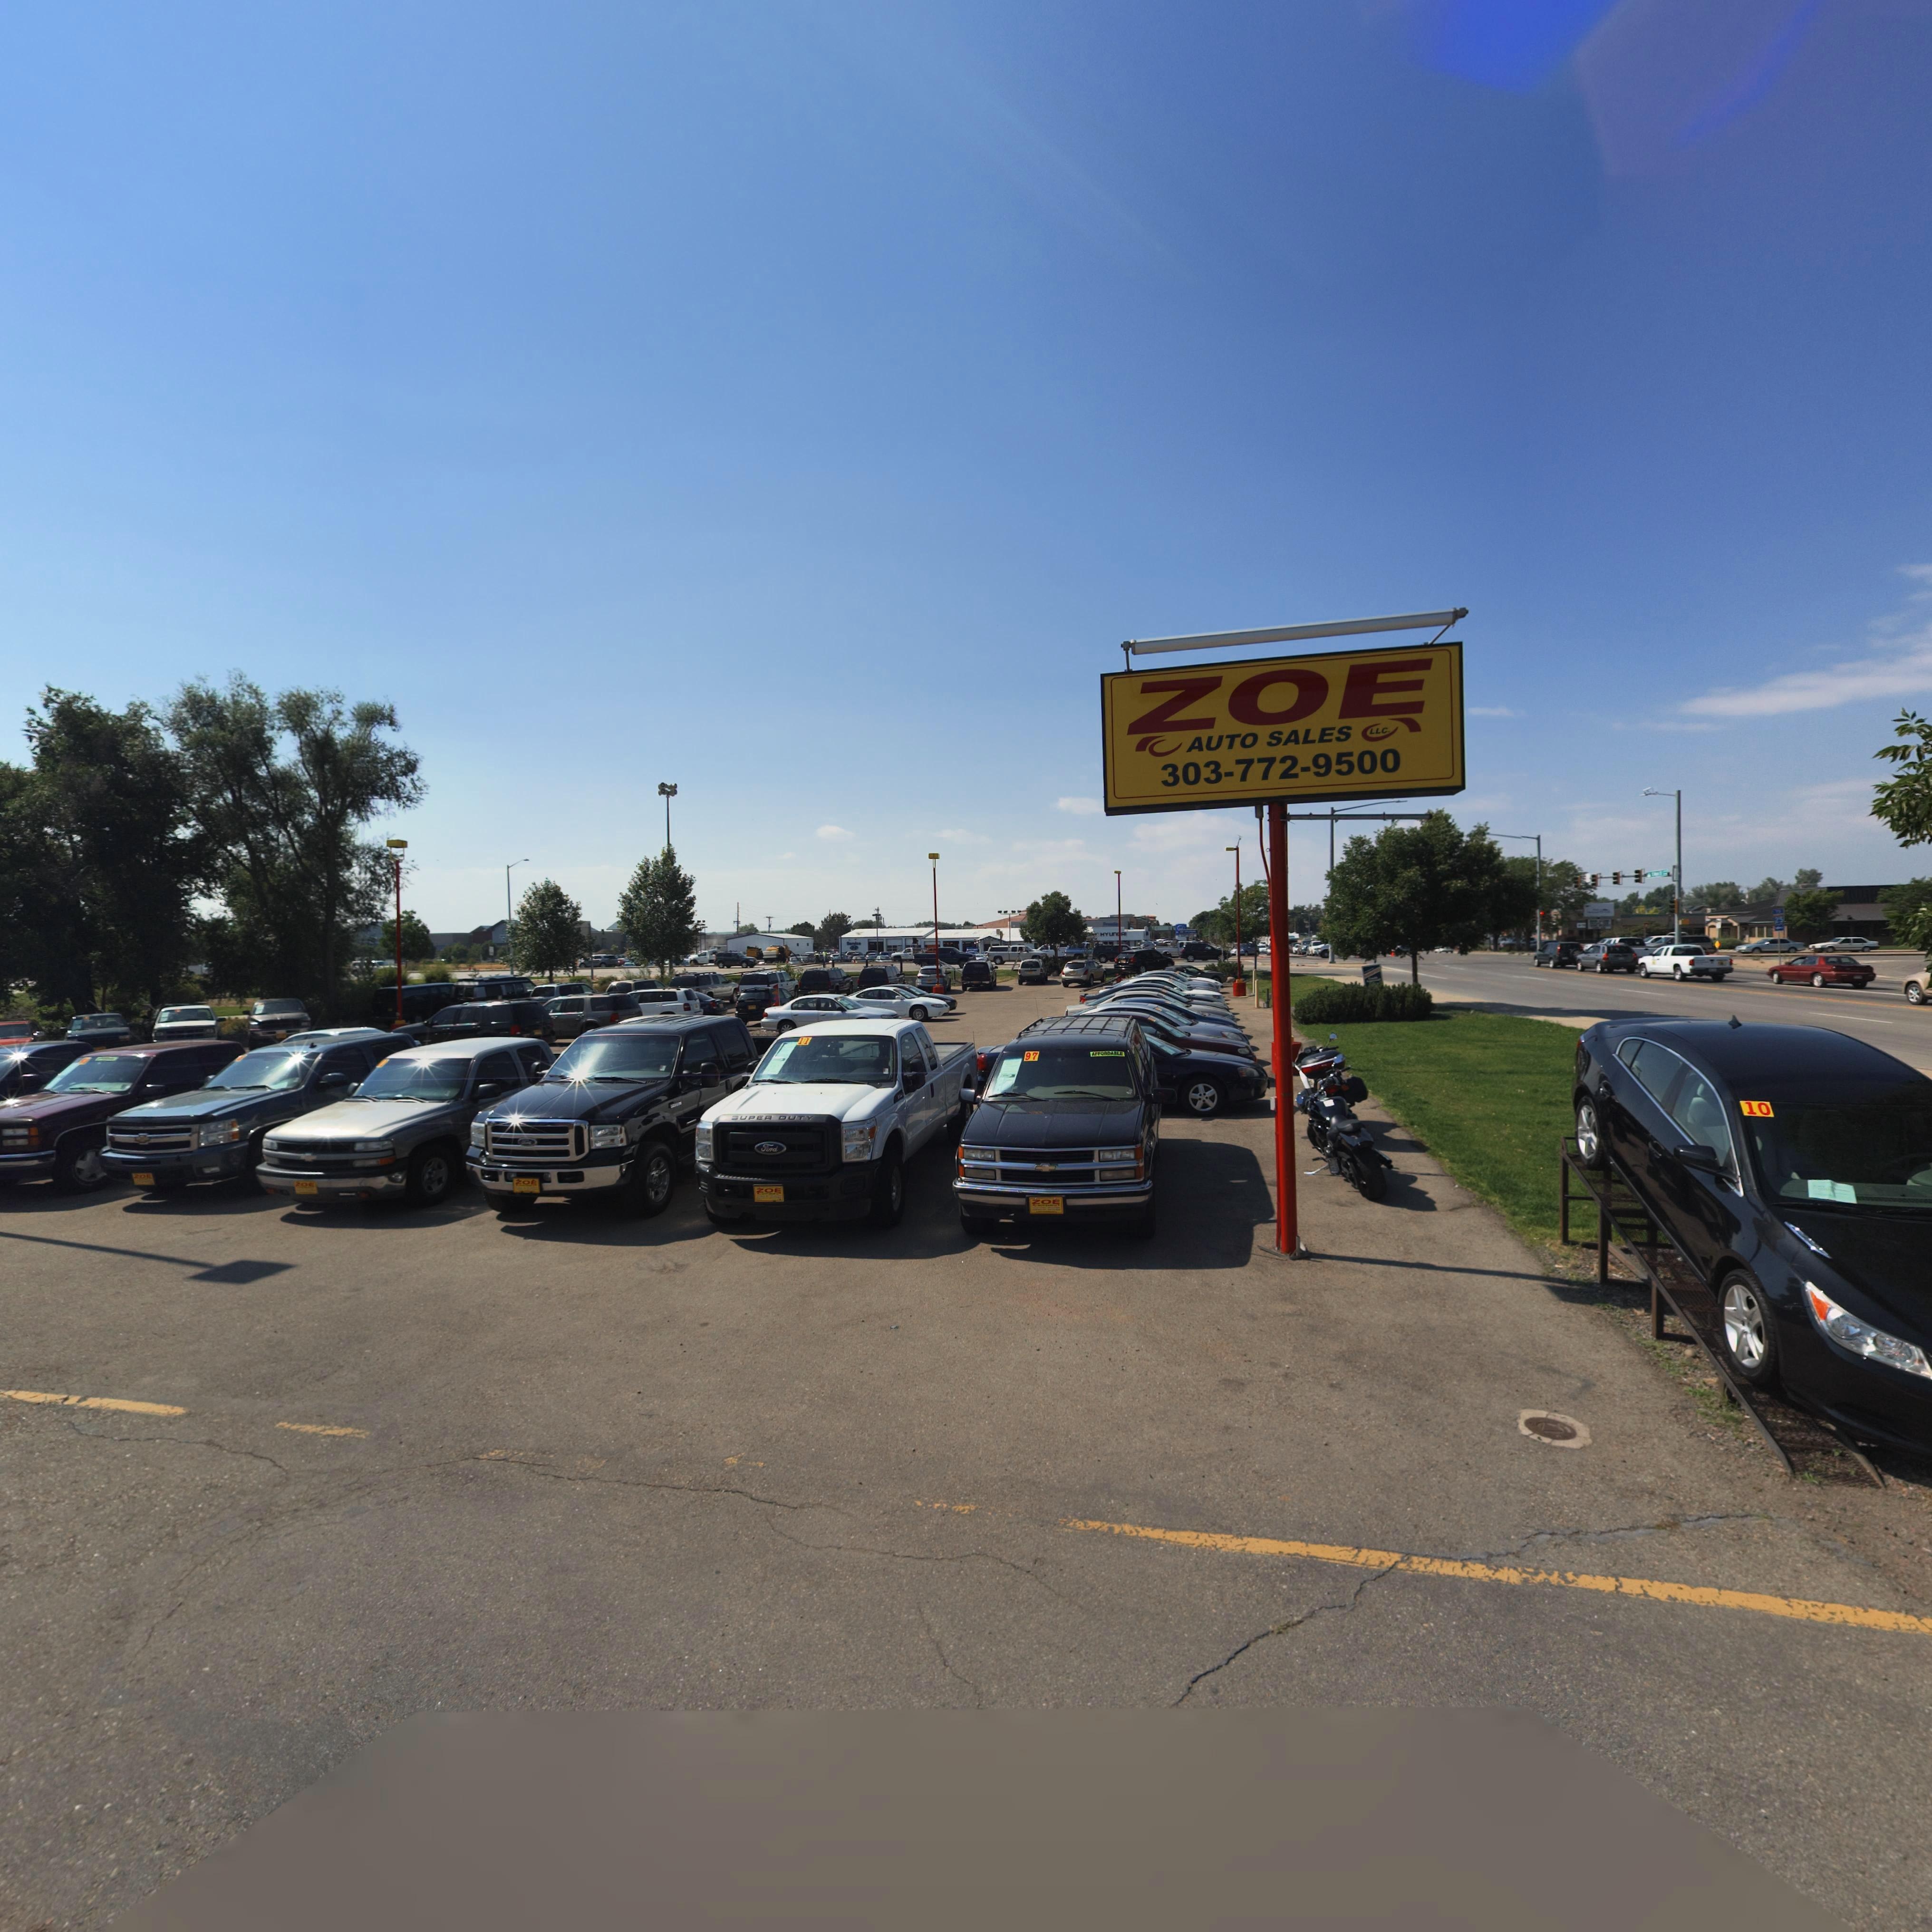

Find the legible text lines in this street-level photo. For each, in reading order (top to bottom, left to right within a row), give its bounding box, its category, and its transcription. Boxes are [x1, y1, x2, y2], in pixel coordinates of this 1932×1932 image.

[1125, 656, 1435, 736] BusinessName: ZOE
[1185, 725, 1353, 753] BusinessName: AUTO SALES
[1100, 931, 1127, 937] BusinessName: HYUn*AI